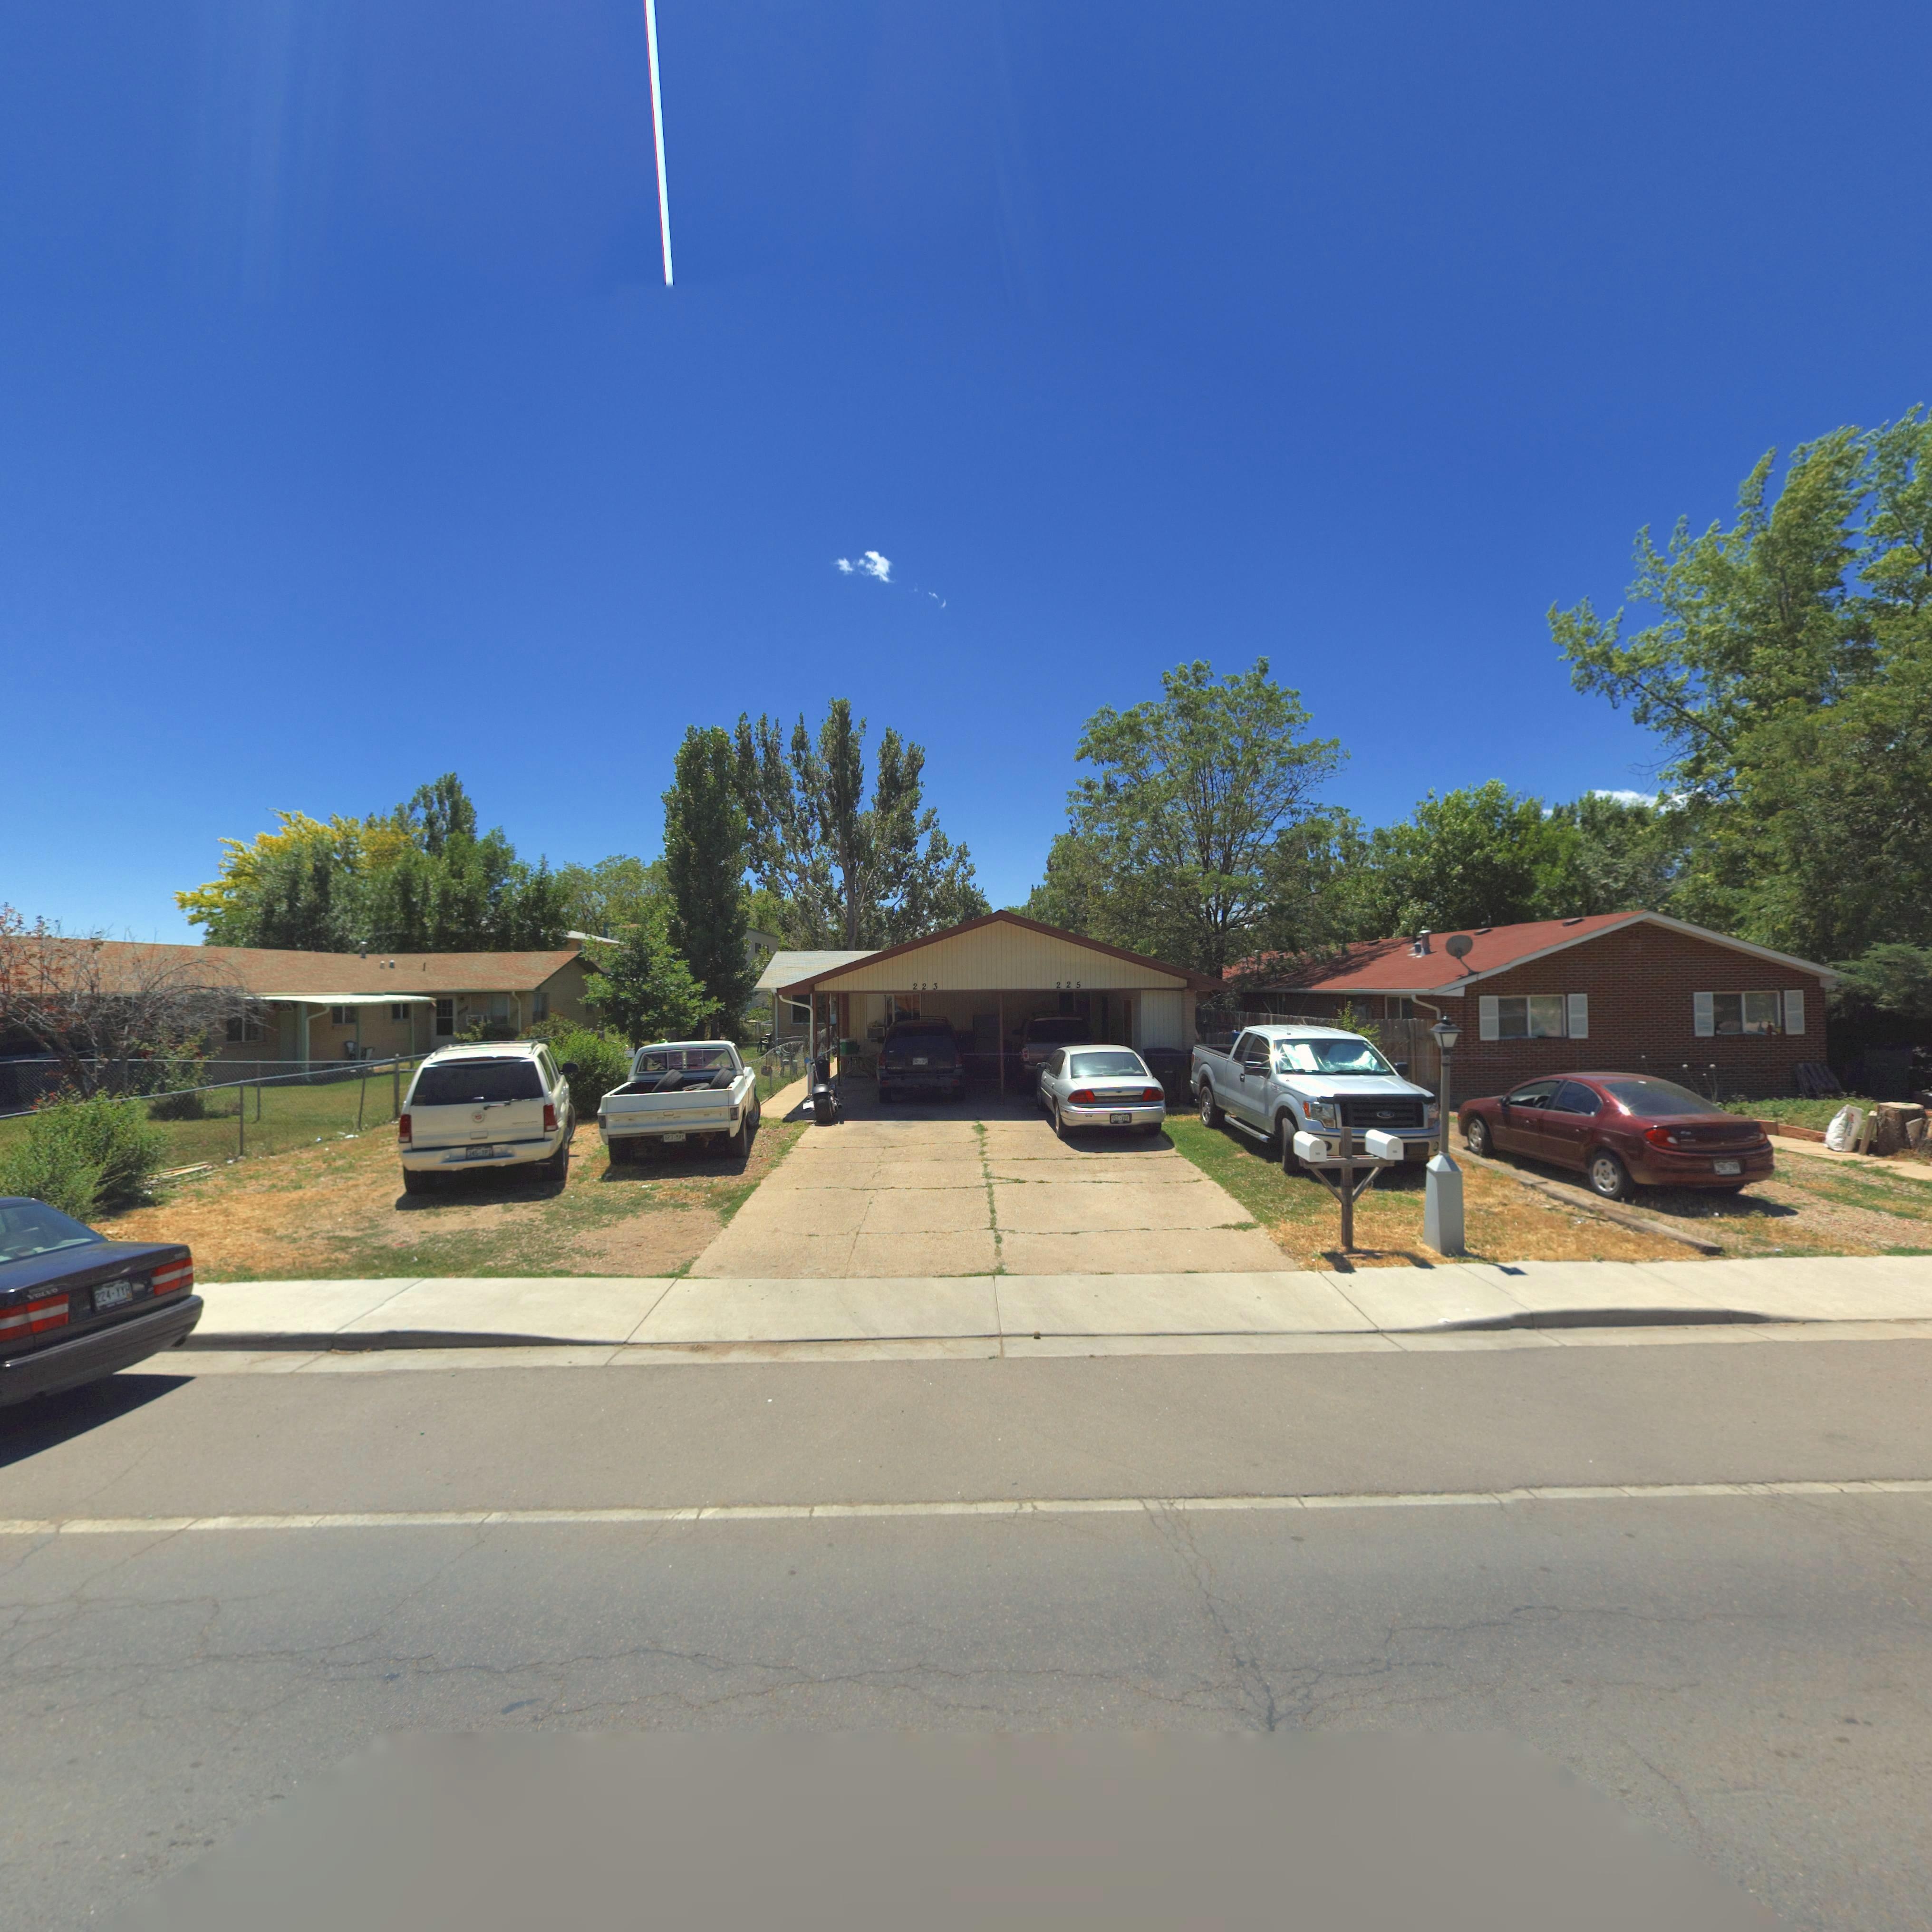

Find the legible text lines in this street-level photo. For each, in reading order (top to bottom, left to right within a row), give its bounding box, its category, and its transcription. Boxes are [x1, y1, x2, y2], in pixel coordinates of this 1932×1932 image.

[912, 982, 937, 990] StreetNumber: 226
[1055, 981, 1081, 988] StreetNumber: 225